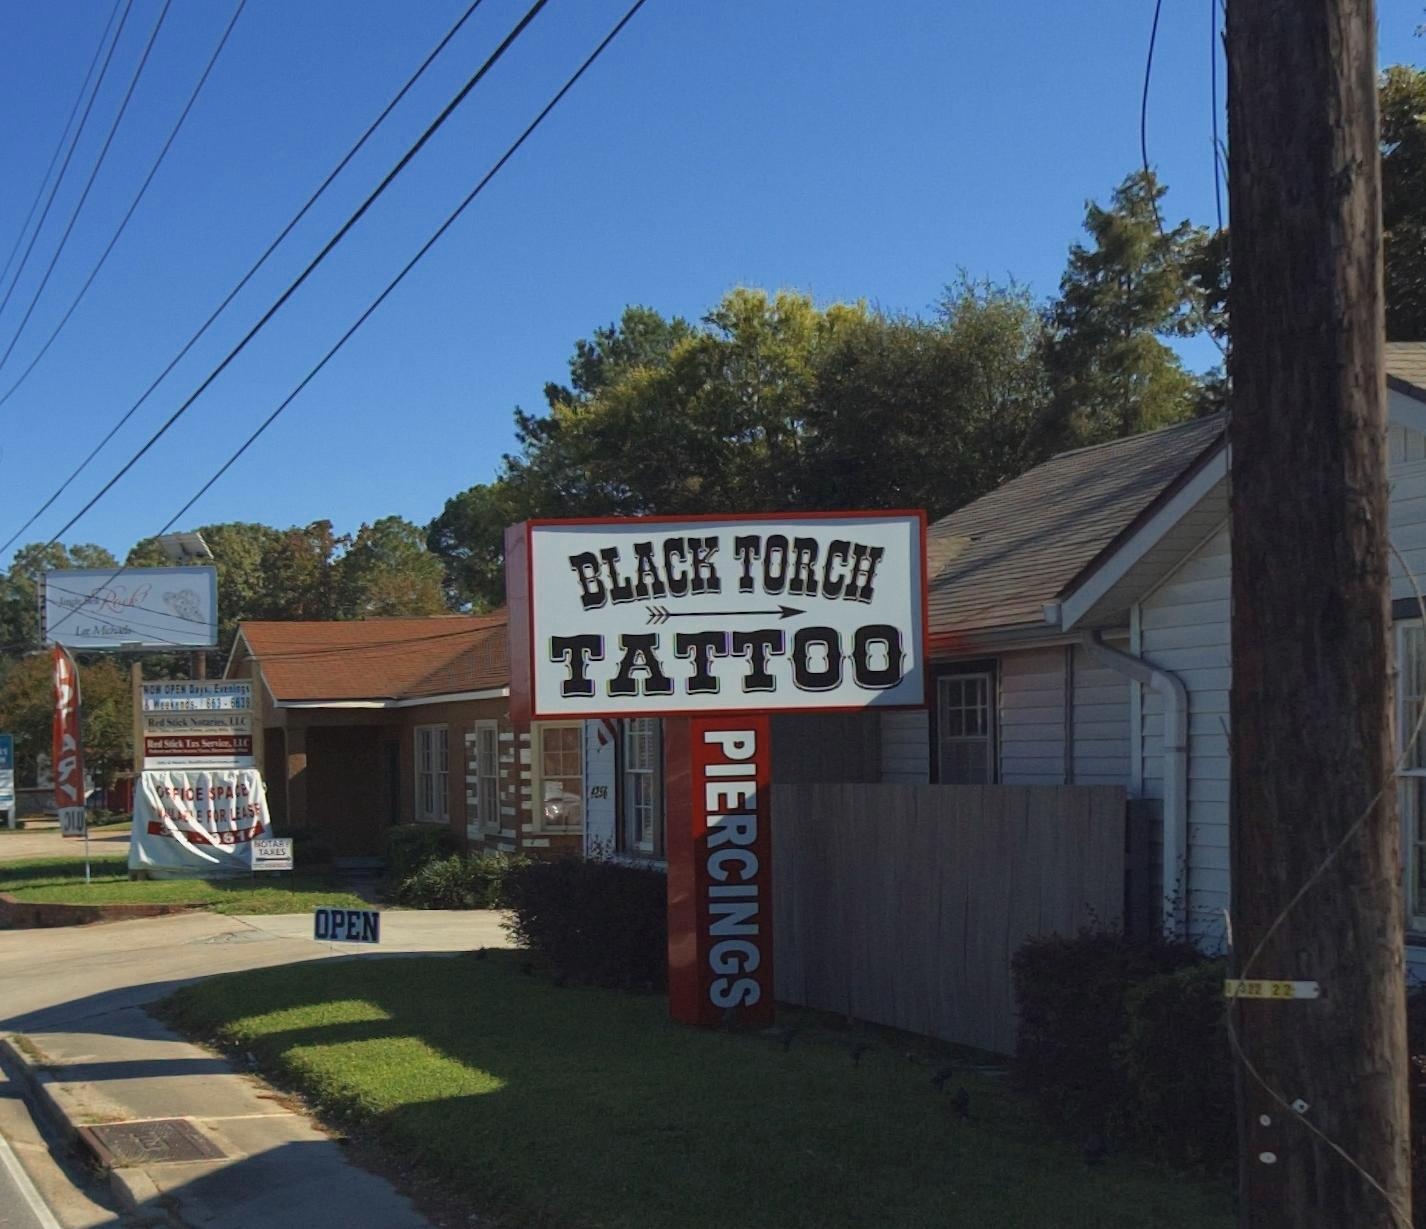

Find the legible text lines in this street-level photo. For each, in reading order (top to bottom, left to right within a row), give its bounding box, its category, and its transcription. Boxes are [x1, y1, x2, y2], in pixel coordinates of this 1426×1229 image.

[566, 533, 887, 609] BusinessName: BLACK TORCH
[53, 581, 160, 616] BusinessName: Jingle *e** Rock!
[550, 623, 904, 697] BusinessName: TATTOO
[142, 682, 252, 696] None: NOW OPEN Days, Evenings
[153, 697, 197, 710] None: Weekends
[228, 715, 250, 727] None: LLC
[232, 736, 252, 749] None: LLC
[155, 782, 253, 803] None: O**ICE SPA**
[588, 784, 610, 801] None: 4253
[195, 801, 262, 827] None: E F*R L*ASE
[222, 829, 246, 845] None: 81
[253, 838, 291, 849] None: NOTARY
[258, 848, 288, 856] None: TAXES
[703, 726, 762, 1010] None: PIERCINGS
[314, 908, 380, 942] None: OPEN
[1268, 979, 1298, 1000] None: 22